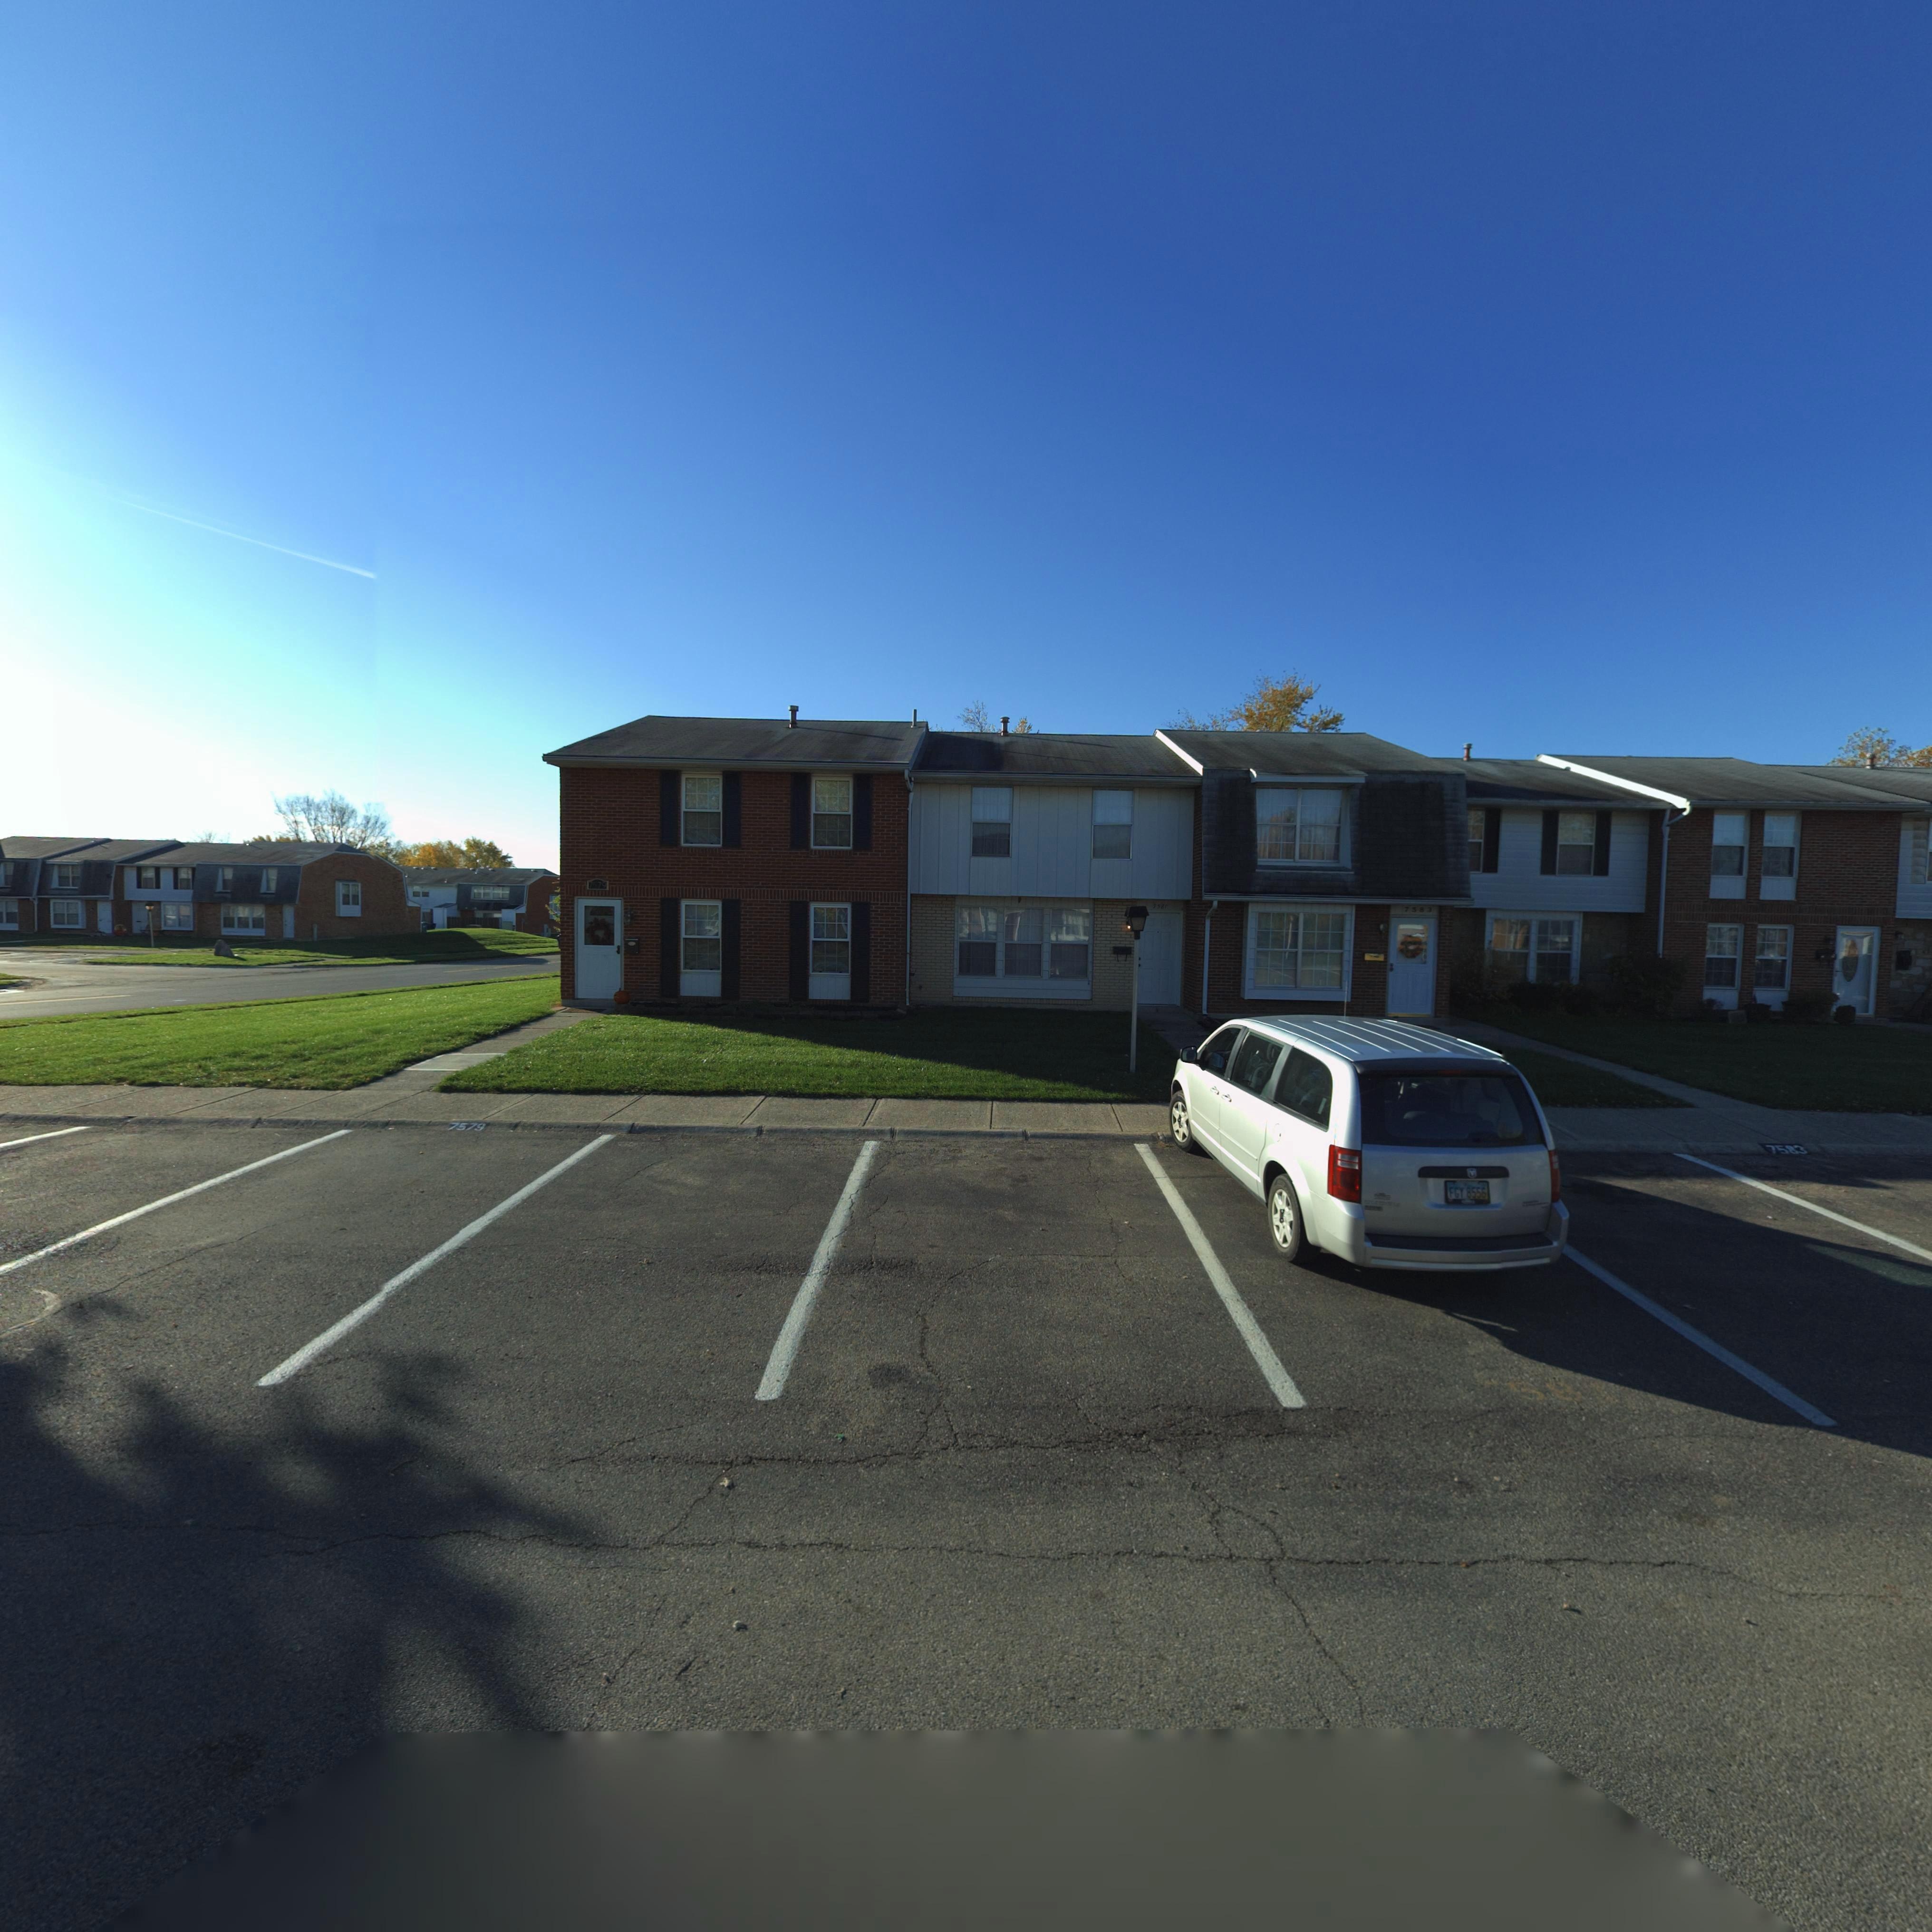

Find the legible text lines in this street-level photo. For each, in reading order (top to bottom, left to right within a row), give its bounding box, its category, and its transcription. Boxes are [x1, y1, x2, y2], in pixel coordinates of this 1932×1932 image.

[589, 881, 607, 889] StreetNumber: 7579
[1152, 903, 1169, 910] StreetNumber: 7580
[1404, 906, 1433, 913] StreetNumber: 7583
[446, 1121, 487, 1131] StreetNumber: 7579
[1764, 1144, 1808, 1154] StreetNumber: 7583
[1505, 1381, 1622, 1406] StreetNumber: 581